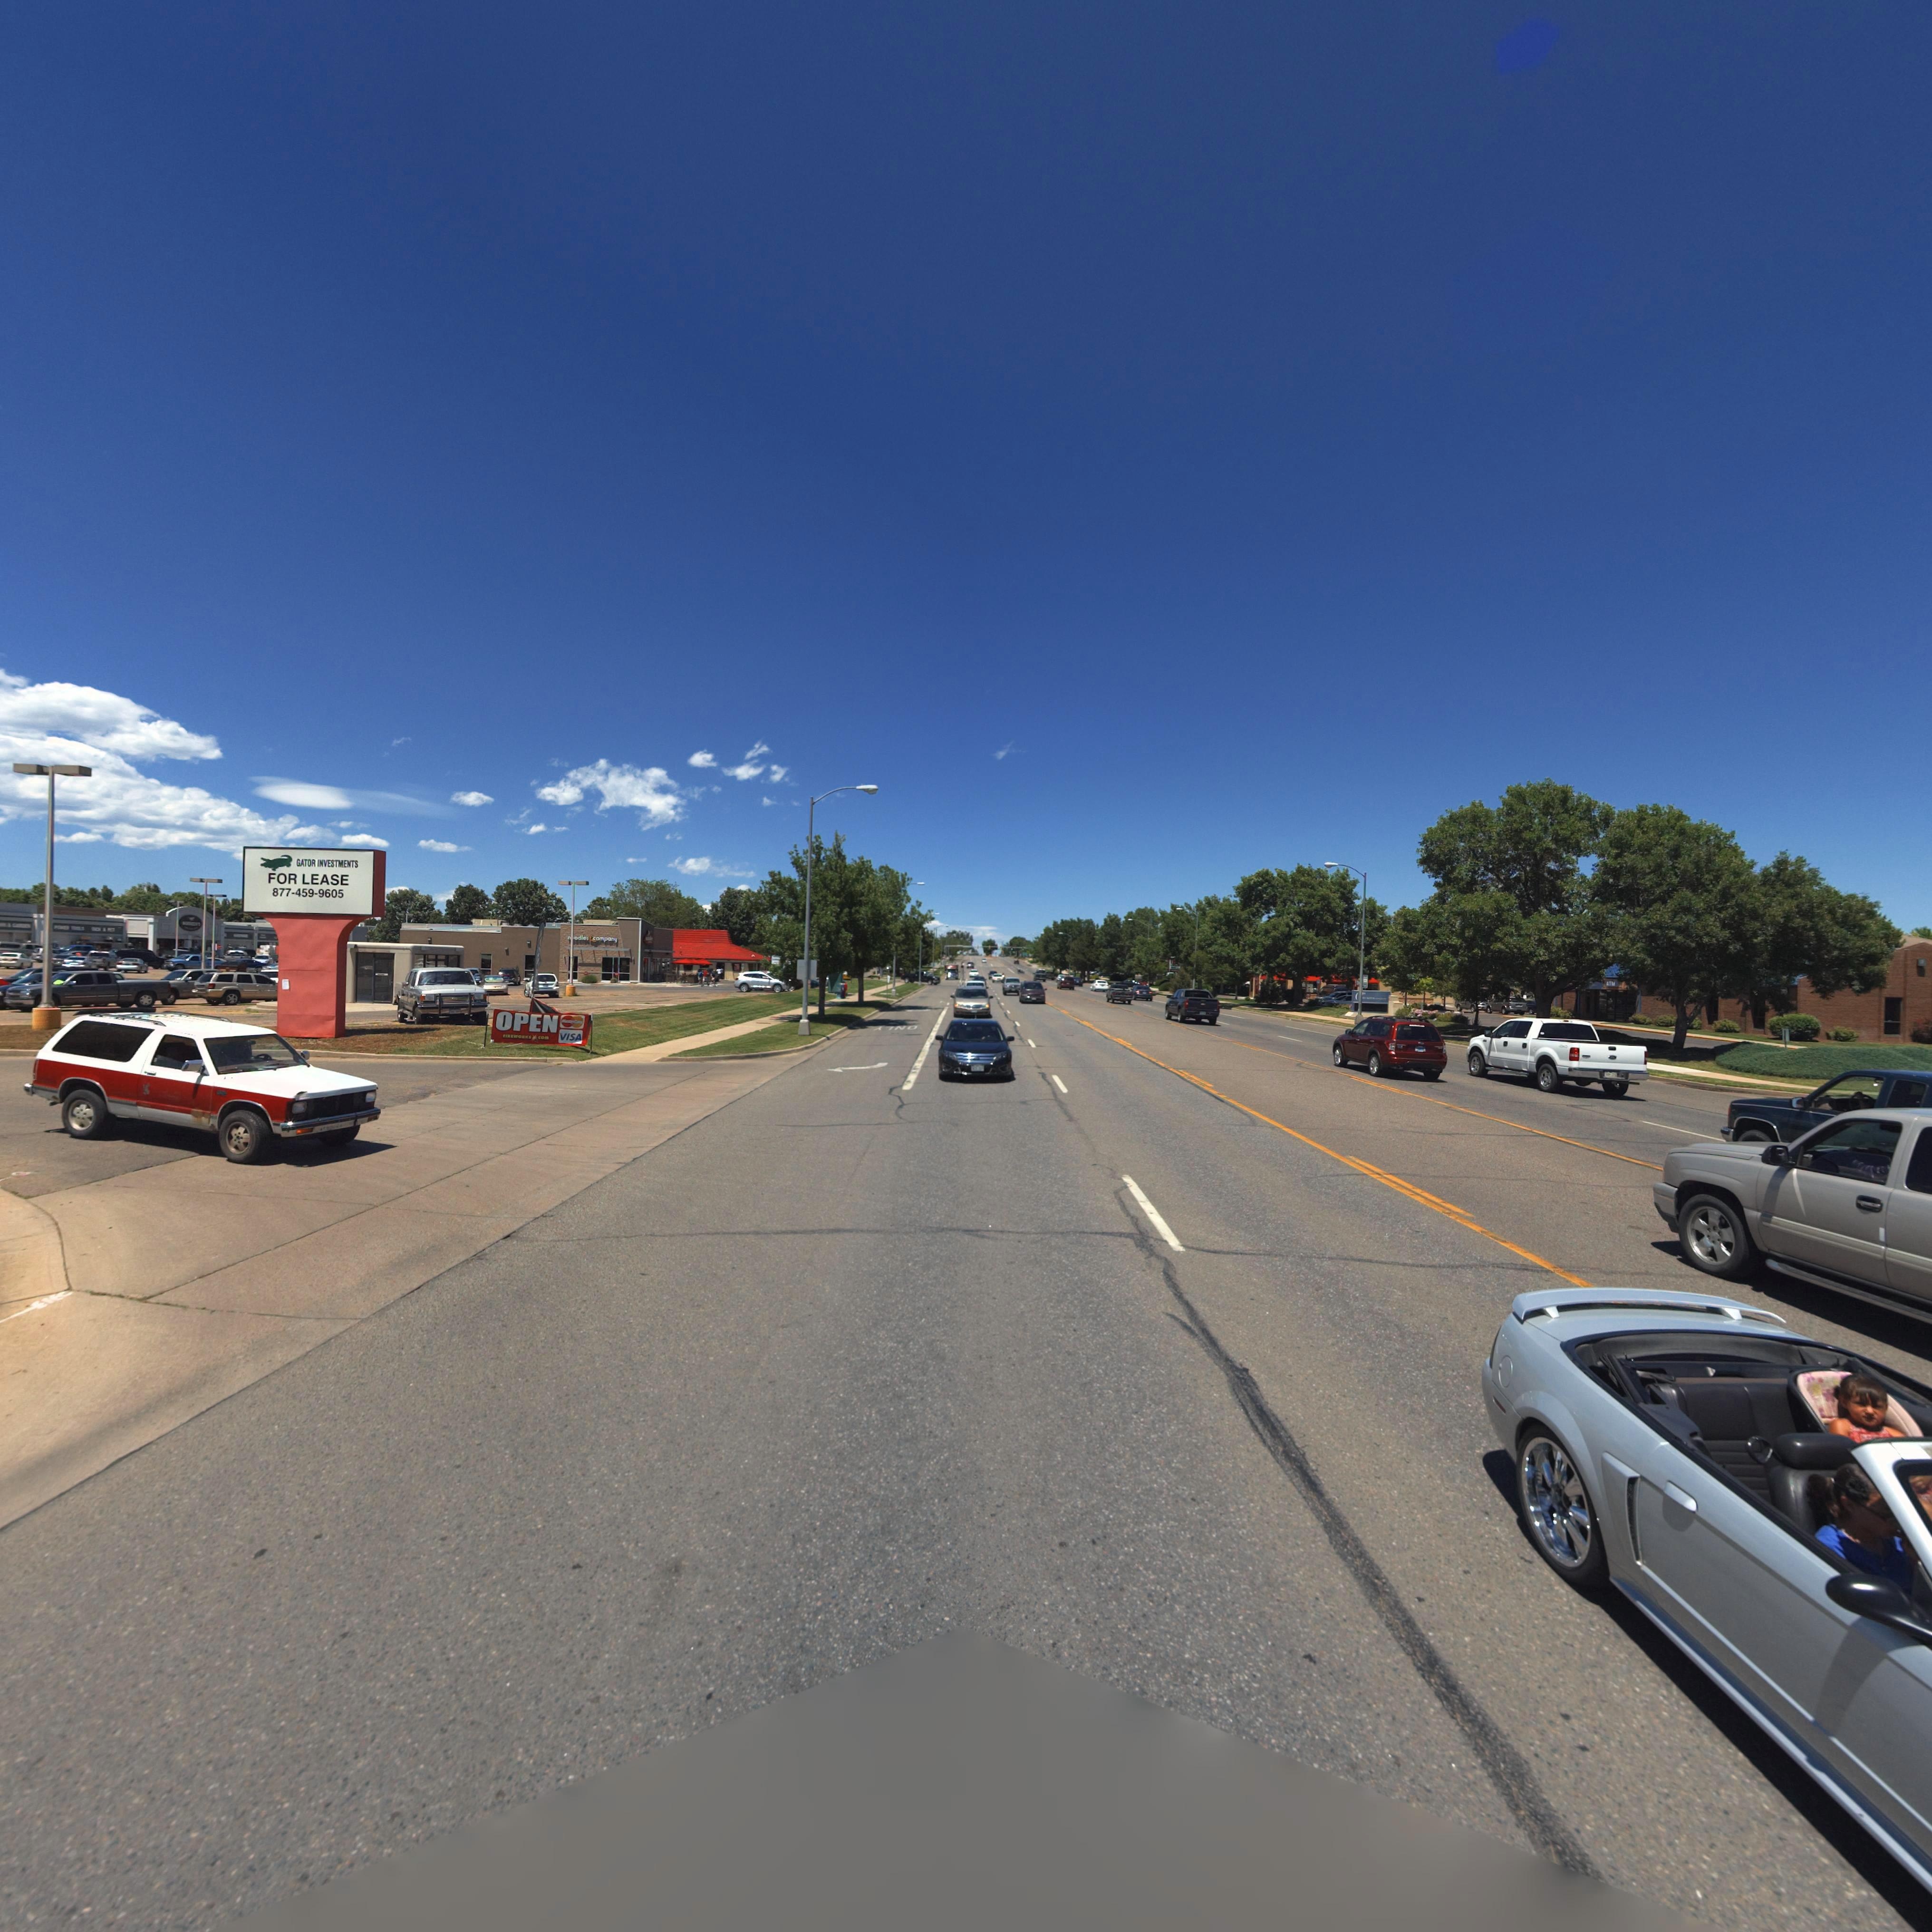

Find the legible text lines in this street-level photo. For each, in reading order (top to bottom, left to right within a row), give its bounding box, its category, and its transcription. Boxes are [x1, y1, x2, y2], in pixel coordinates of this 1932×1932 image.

[568, 934, 617, 943] BusinessName: n*odl*s*comp*ny